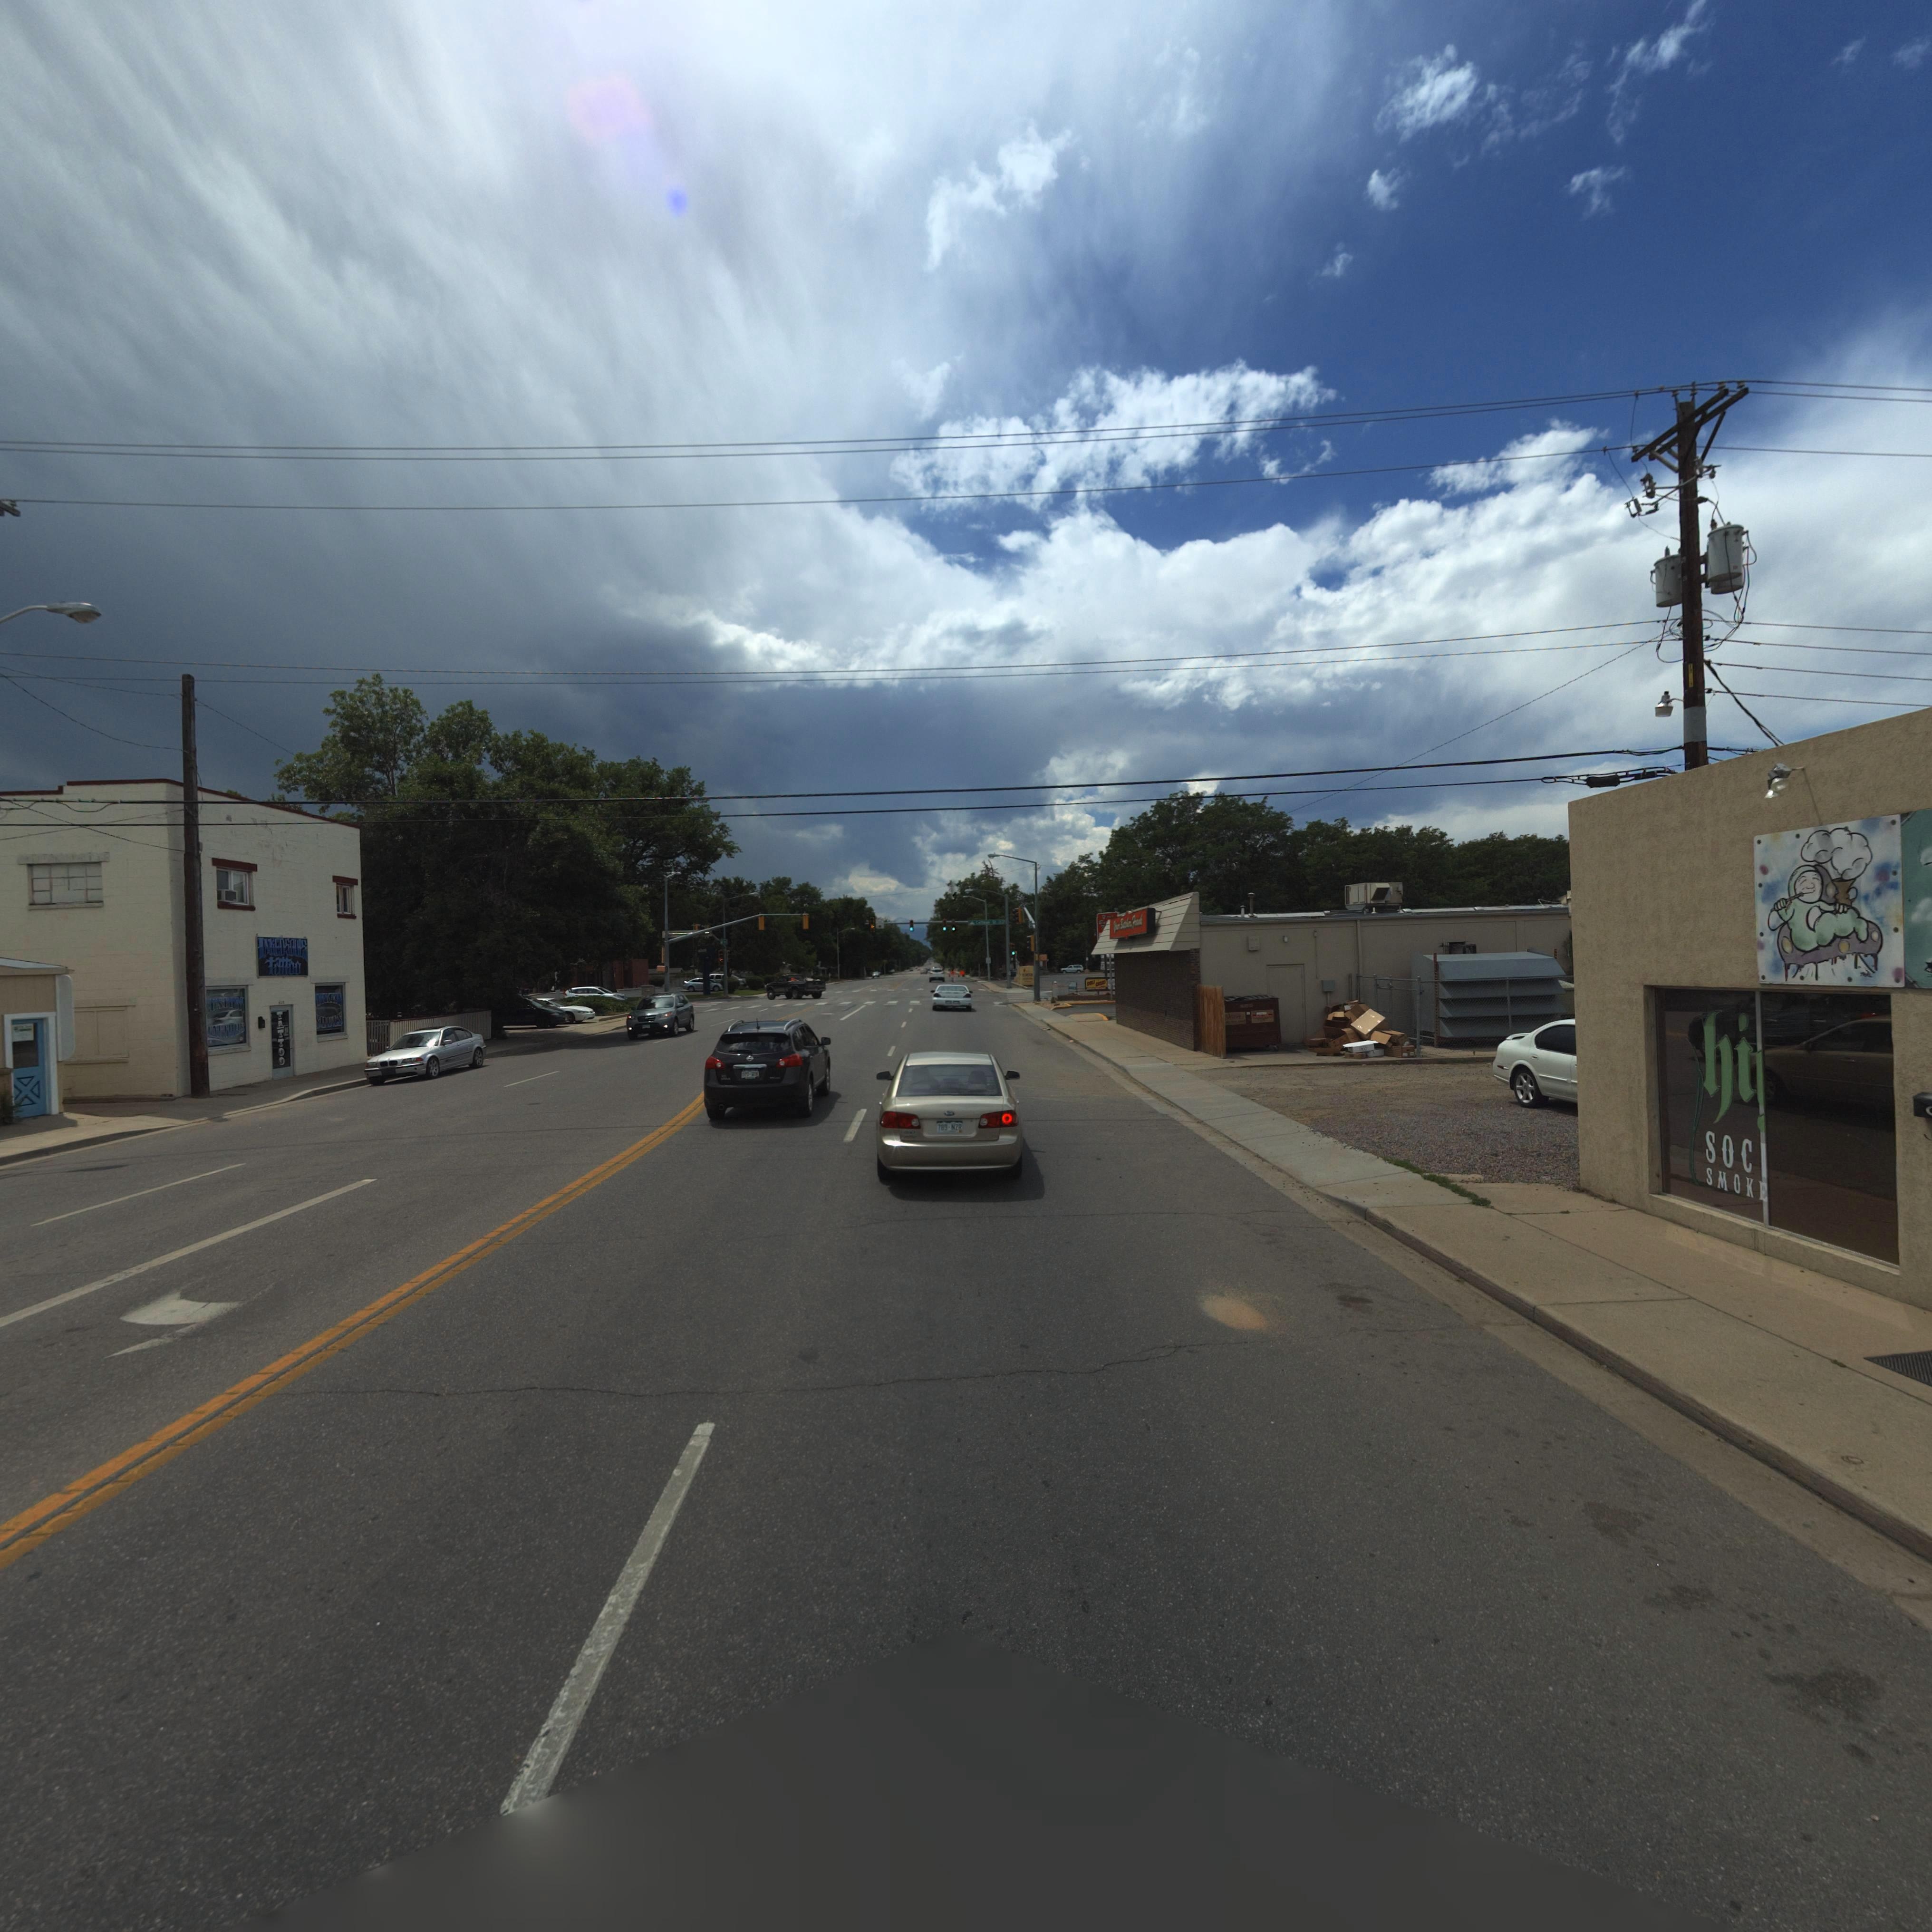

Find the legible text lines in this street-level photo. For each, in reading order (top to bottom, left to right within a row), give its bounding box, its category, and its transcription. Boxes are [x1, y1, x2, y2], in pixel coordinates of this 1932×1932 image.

[976, 920, 996, 925] StreetName: C****** **
[258, 937, 307, 961] BusinessName: INKEDSOULS
[264, 956, 301, 975] BusinessName: Tattoo
[315, 992, 342, 1007] BusinessName: **K**
[316, 1010, 342, 1028] BusinessName: **ULS
[276, 1011, 285, 1065] BusinessName: TATTOO
[1700, 1008, 1767, 1134] BusinessName: hi*
[1706, 1130, 1767, 1179] BusinessName: SOCI
[1706, 1167, 1767, 1202] BusinessName: SMOKE